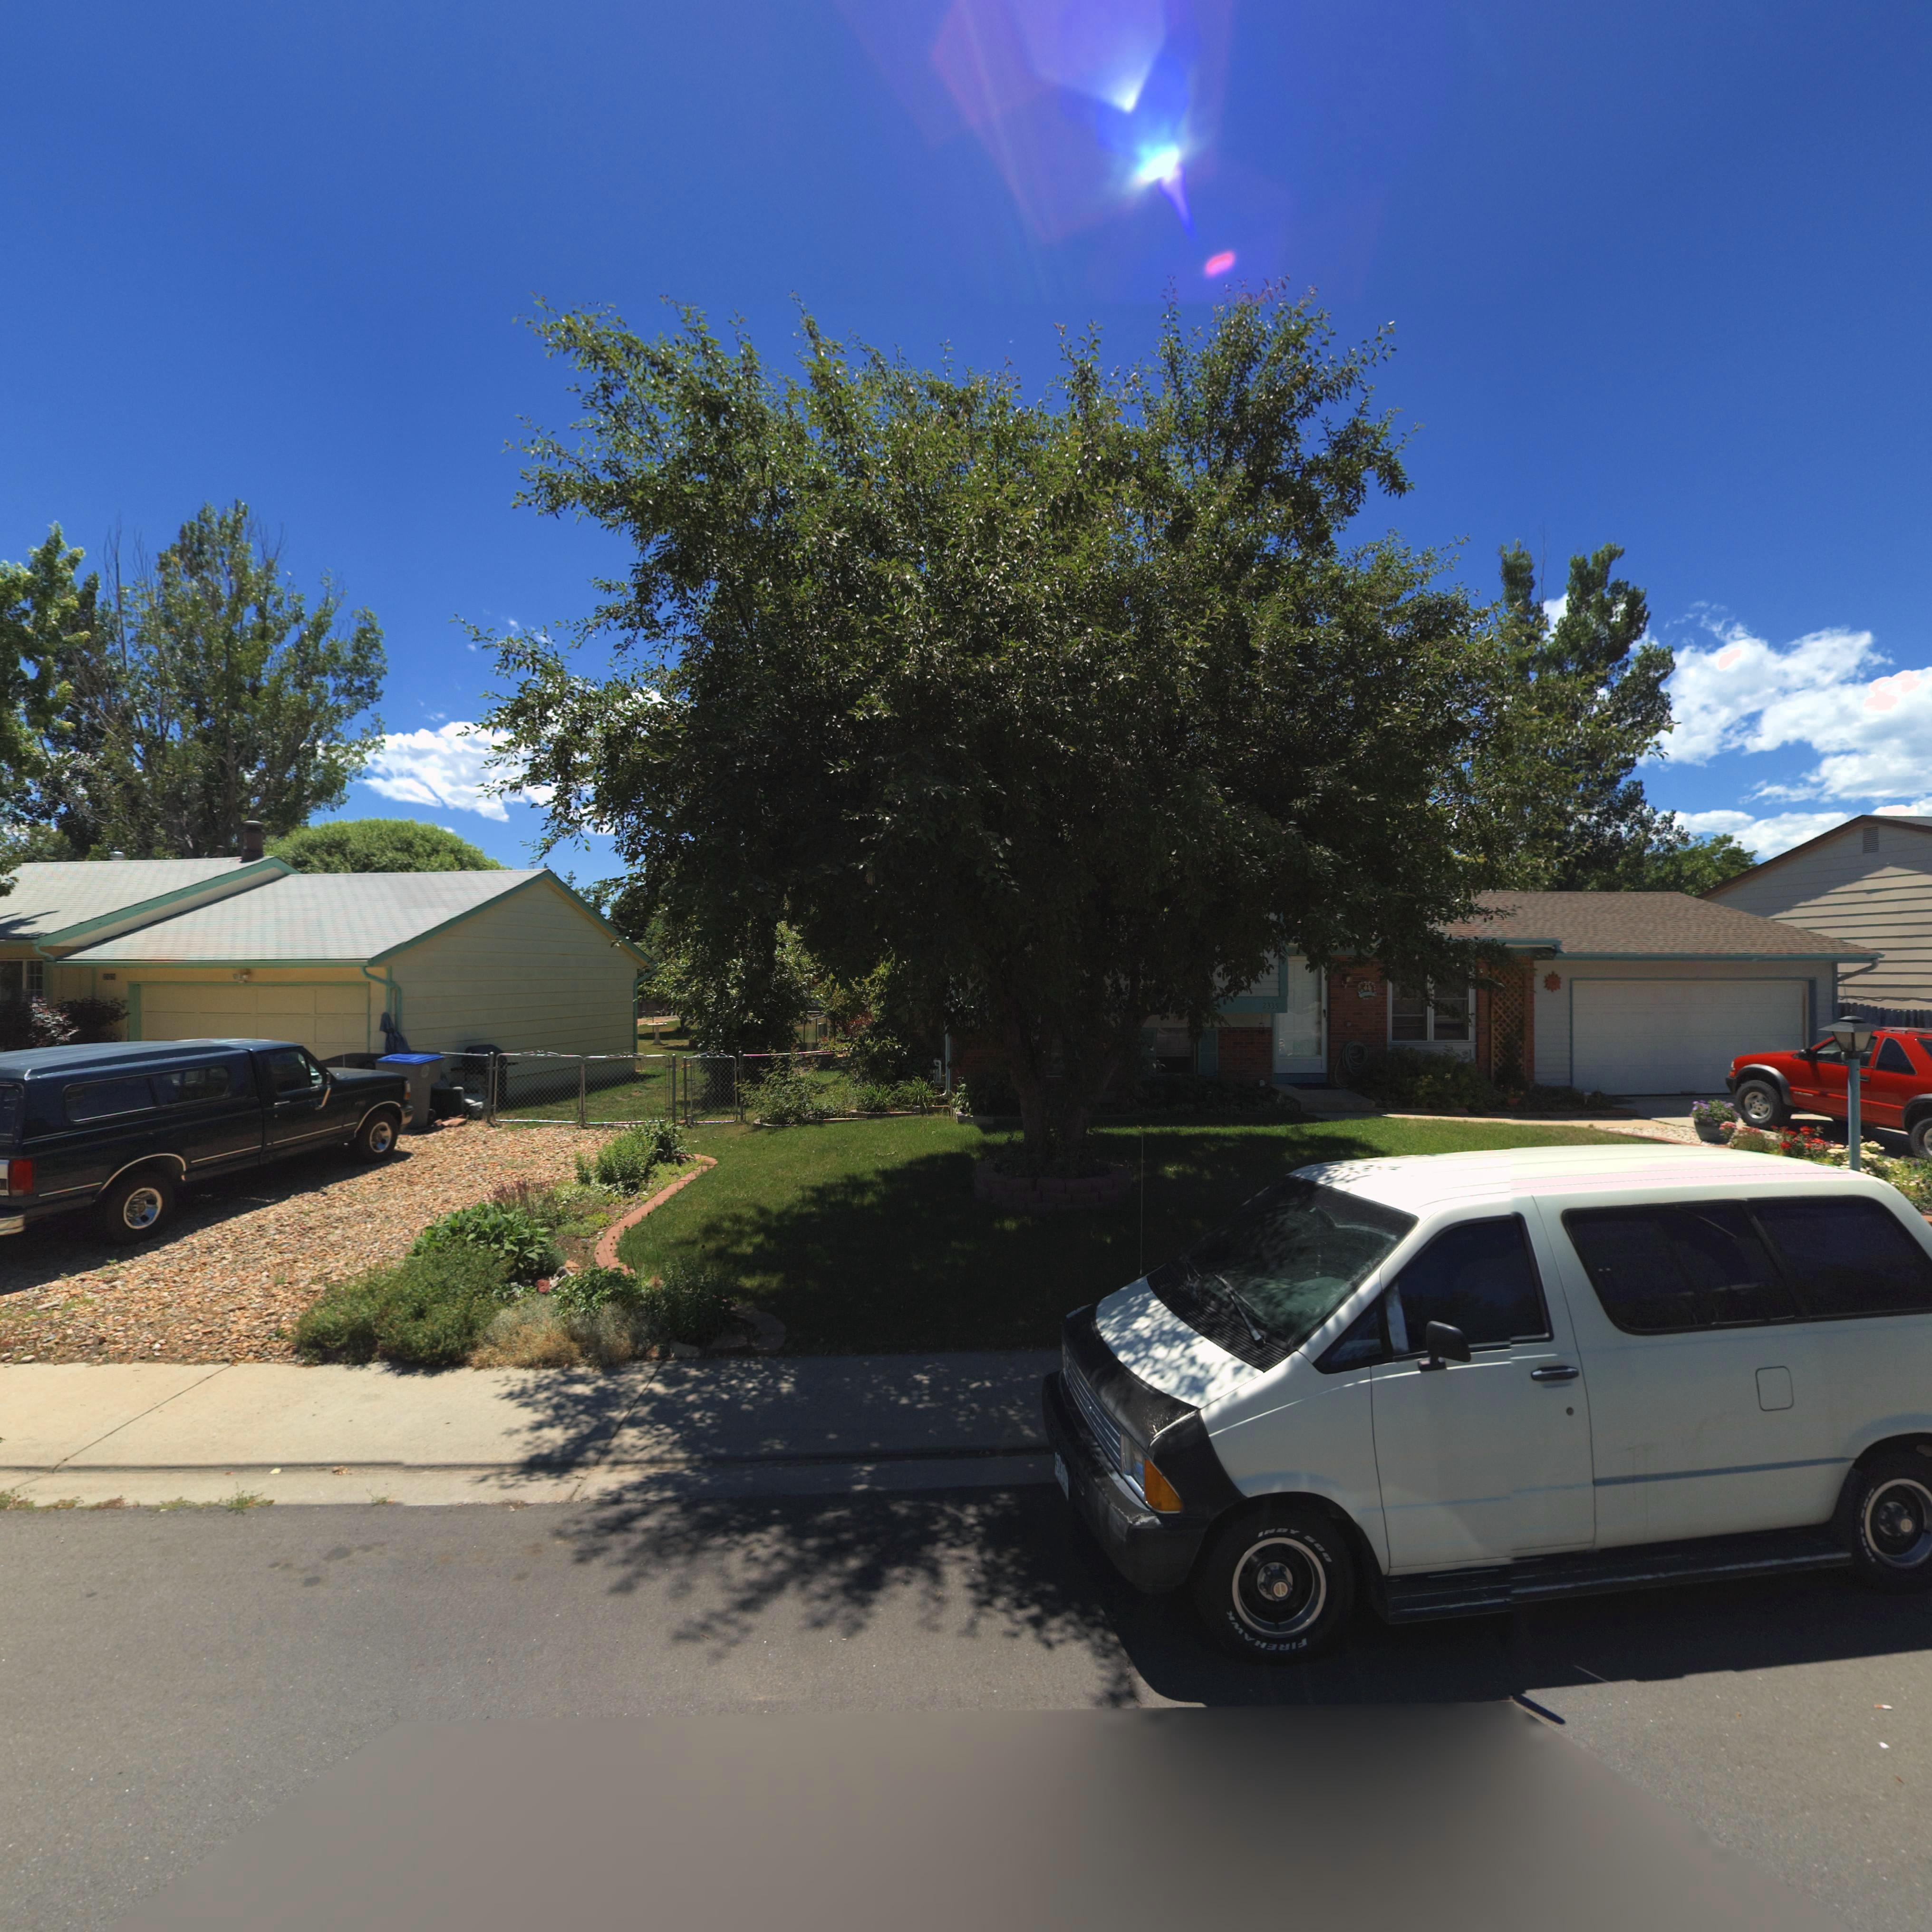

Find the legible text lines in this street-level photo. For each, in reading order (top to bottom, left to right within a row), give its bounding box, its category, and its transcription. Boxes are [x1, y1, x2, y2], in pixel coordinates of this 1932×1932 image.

[1263, 1002, 1277, 1009] StreetNumber: 2335